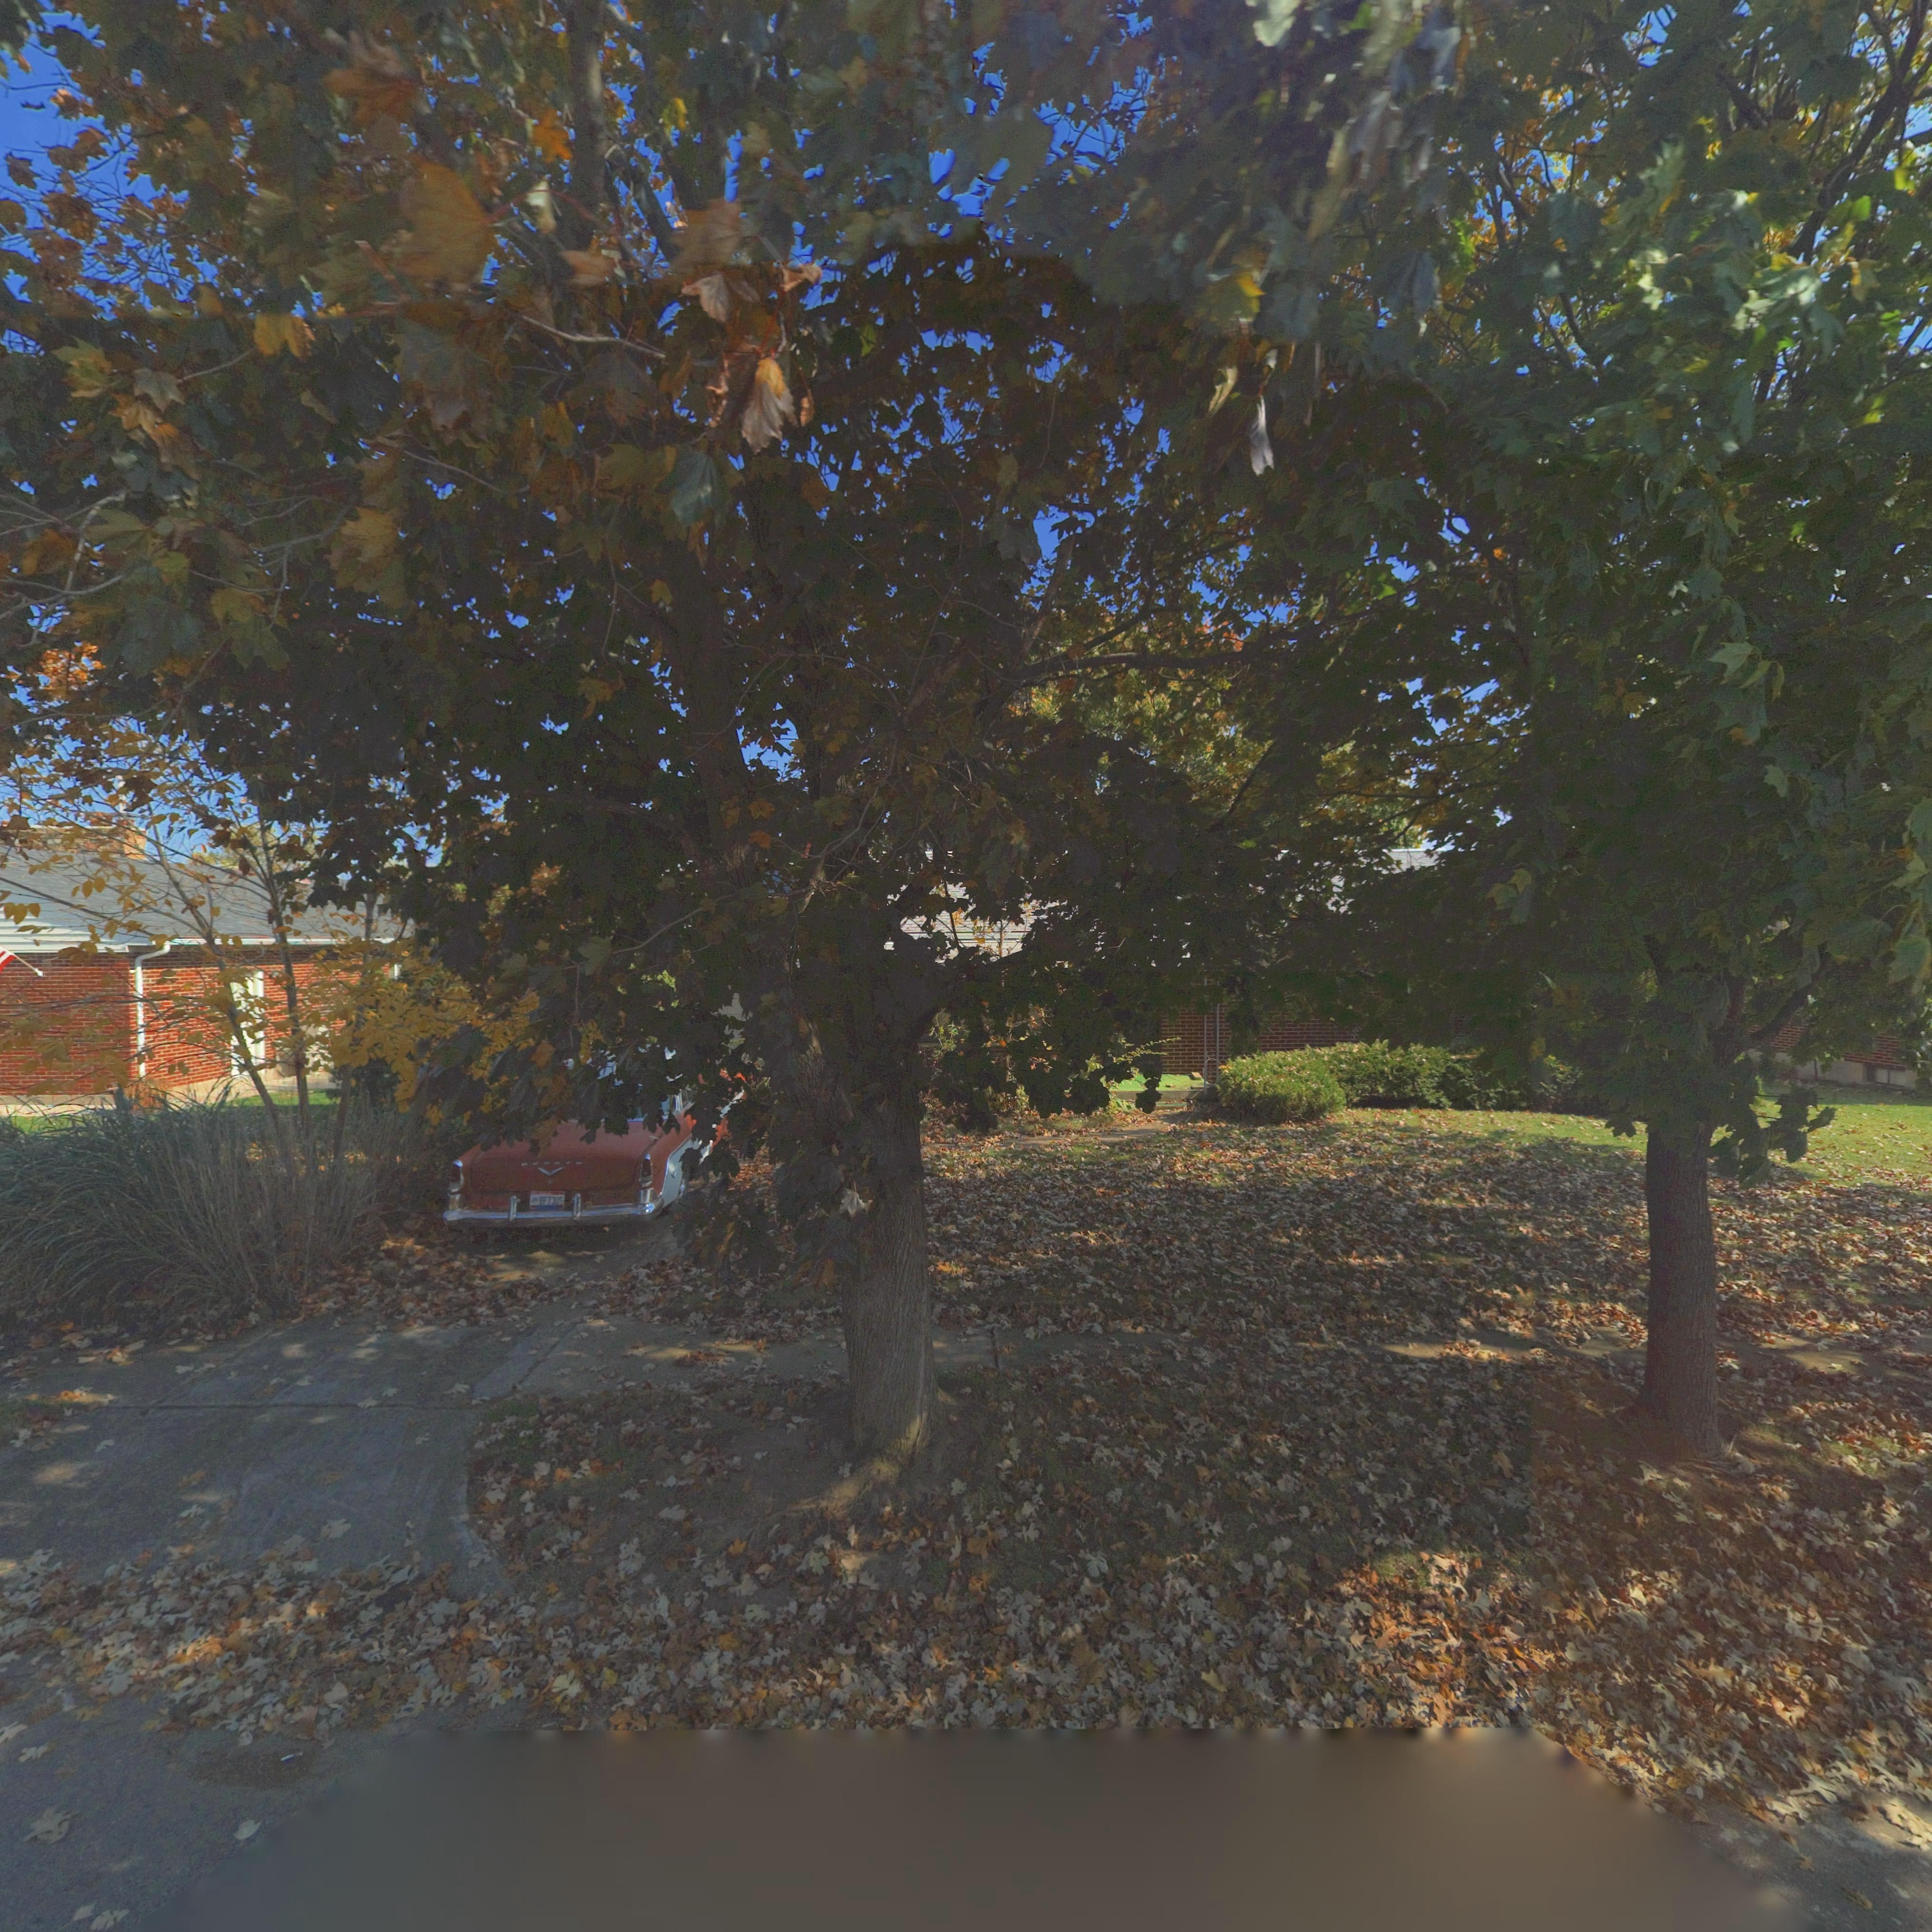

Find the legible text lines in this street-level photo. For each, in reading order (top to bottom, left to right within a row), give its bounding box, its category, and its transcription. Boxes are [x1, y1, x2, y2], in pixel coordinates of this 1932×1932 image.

[538, 1195, 564, 1206] None: BF73US